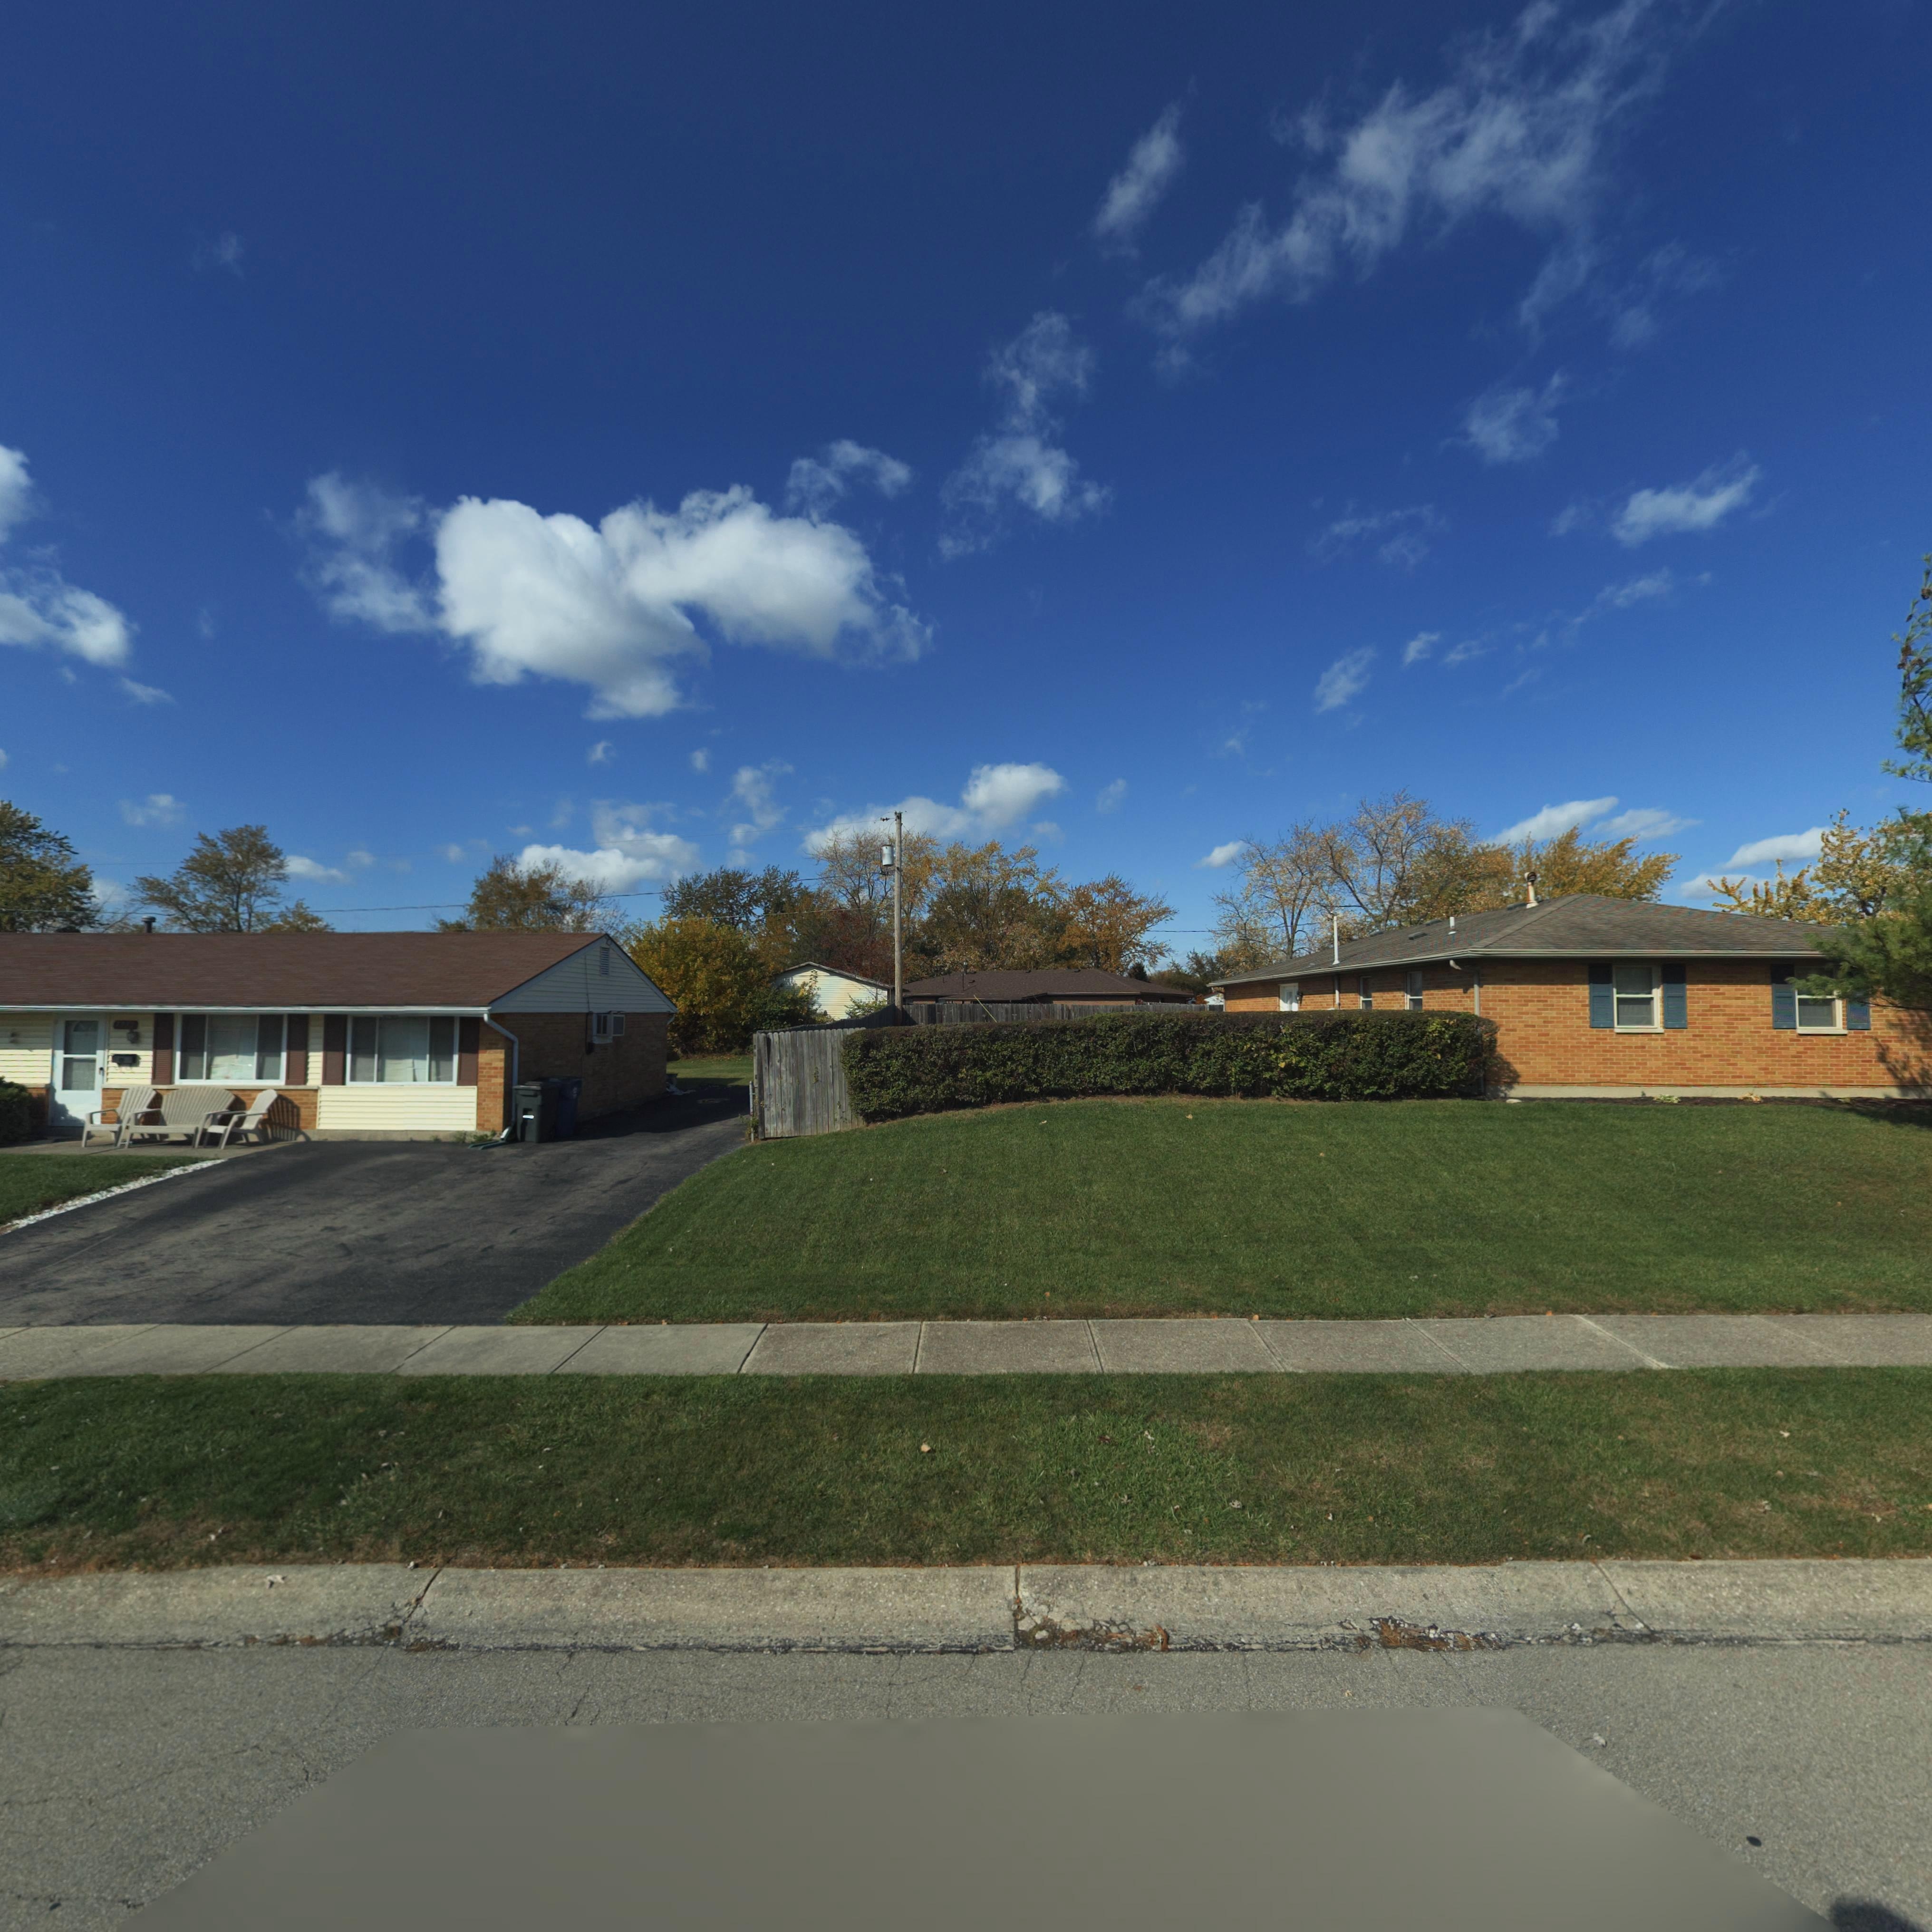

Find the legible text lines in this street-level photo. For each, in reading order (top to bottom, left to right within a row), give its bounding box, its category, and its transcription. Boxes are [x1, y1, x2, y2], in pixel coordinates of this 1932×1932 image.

[115, 1021, 135, 1028] StreetNumber: 7***